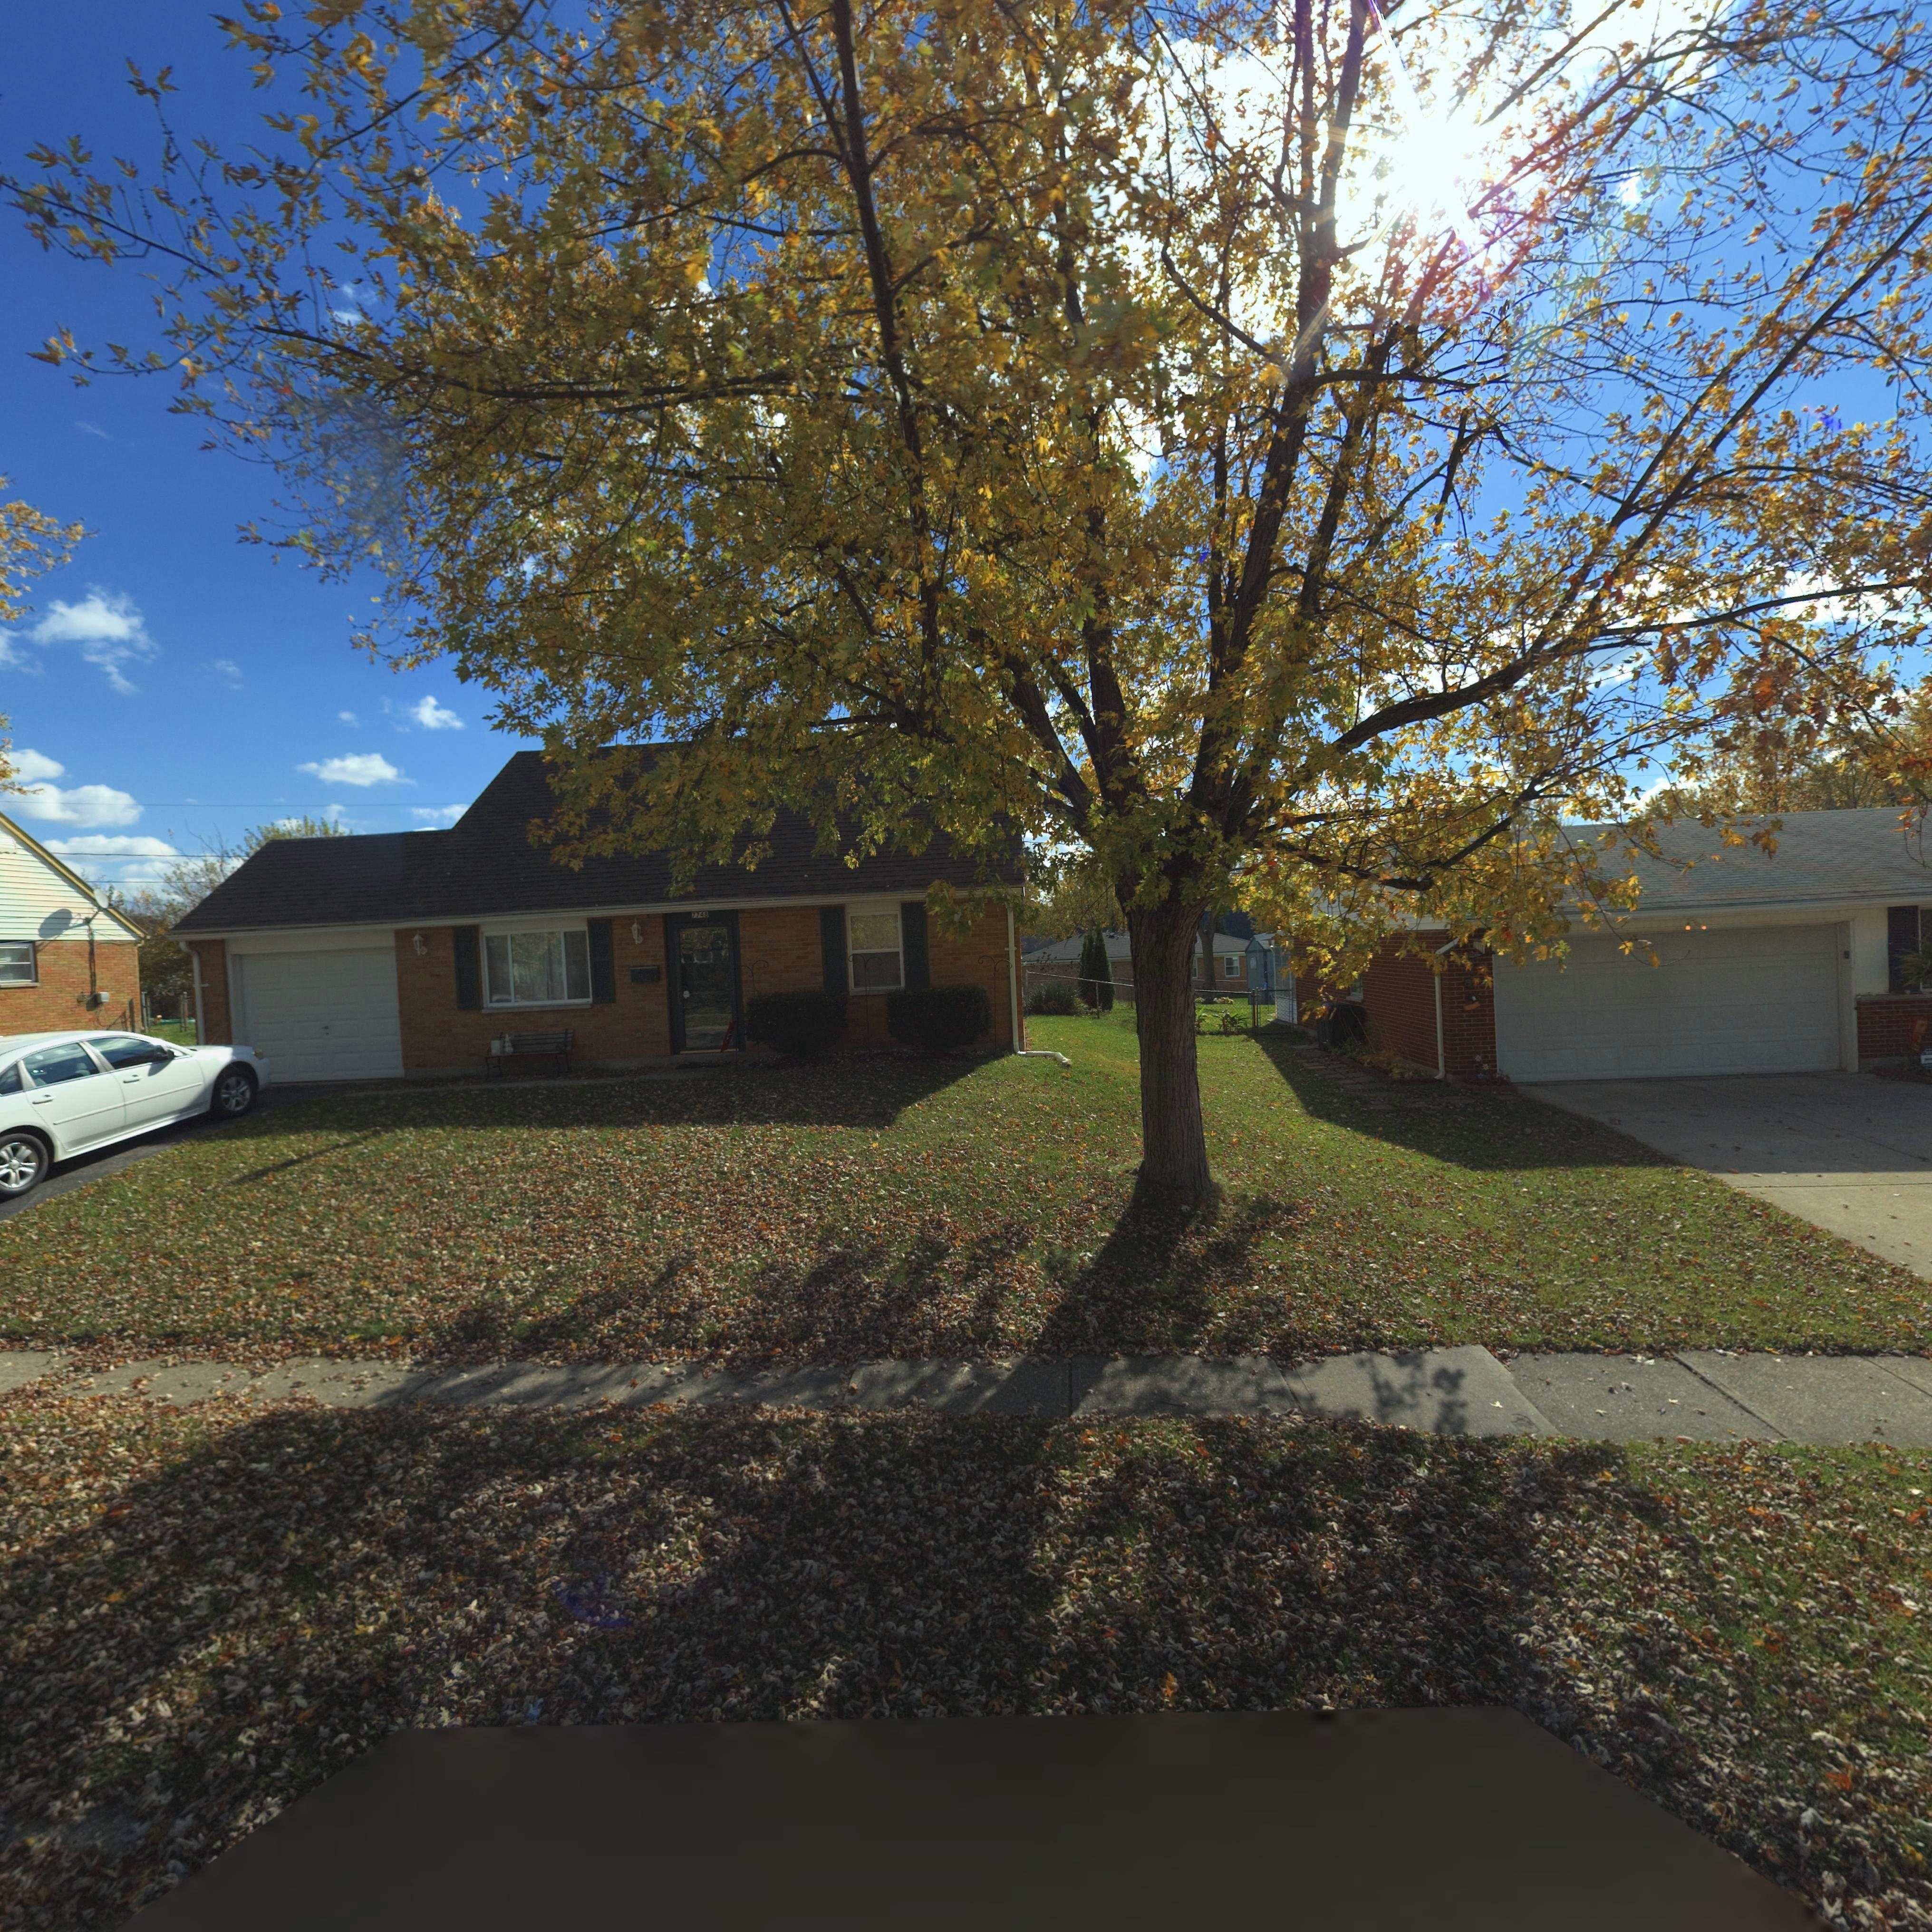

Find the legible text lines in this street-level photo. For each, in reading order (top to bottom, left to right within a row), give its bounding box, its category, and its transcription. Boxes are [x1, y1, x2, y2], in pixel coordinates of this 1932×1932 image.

[691, 911, 708, 918] StreetNumber: 7748